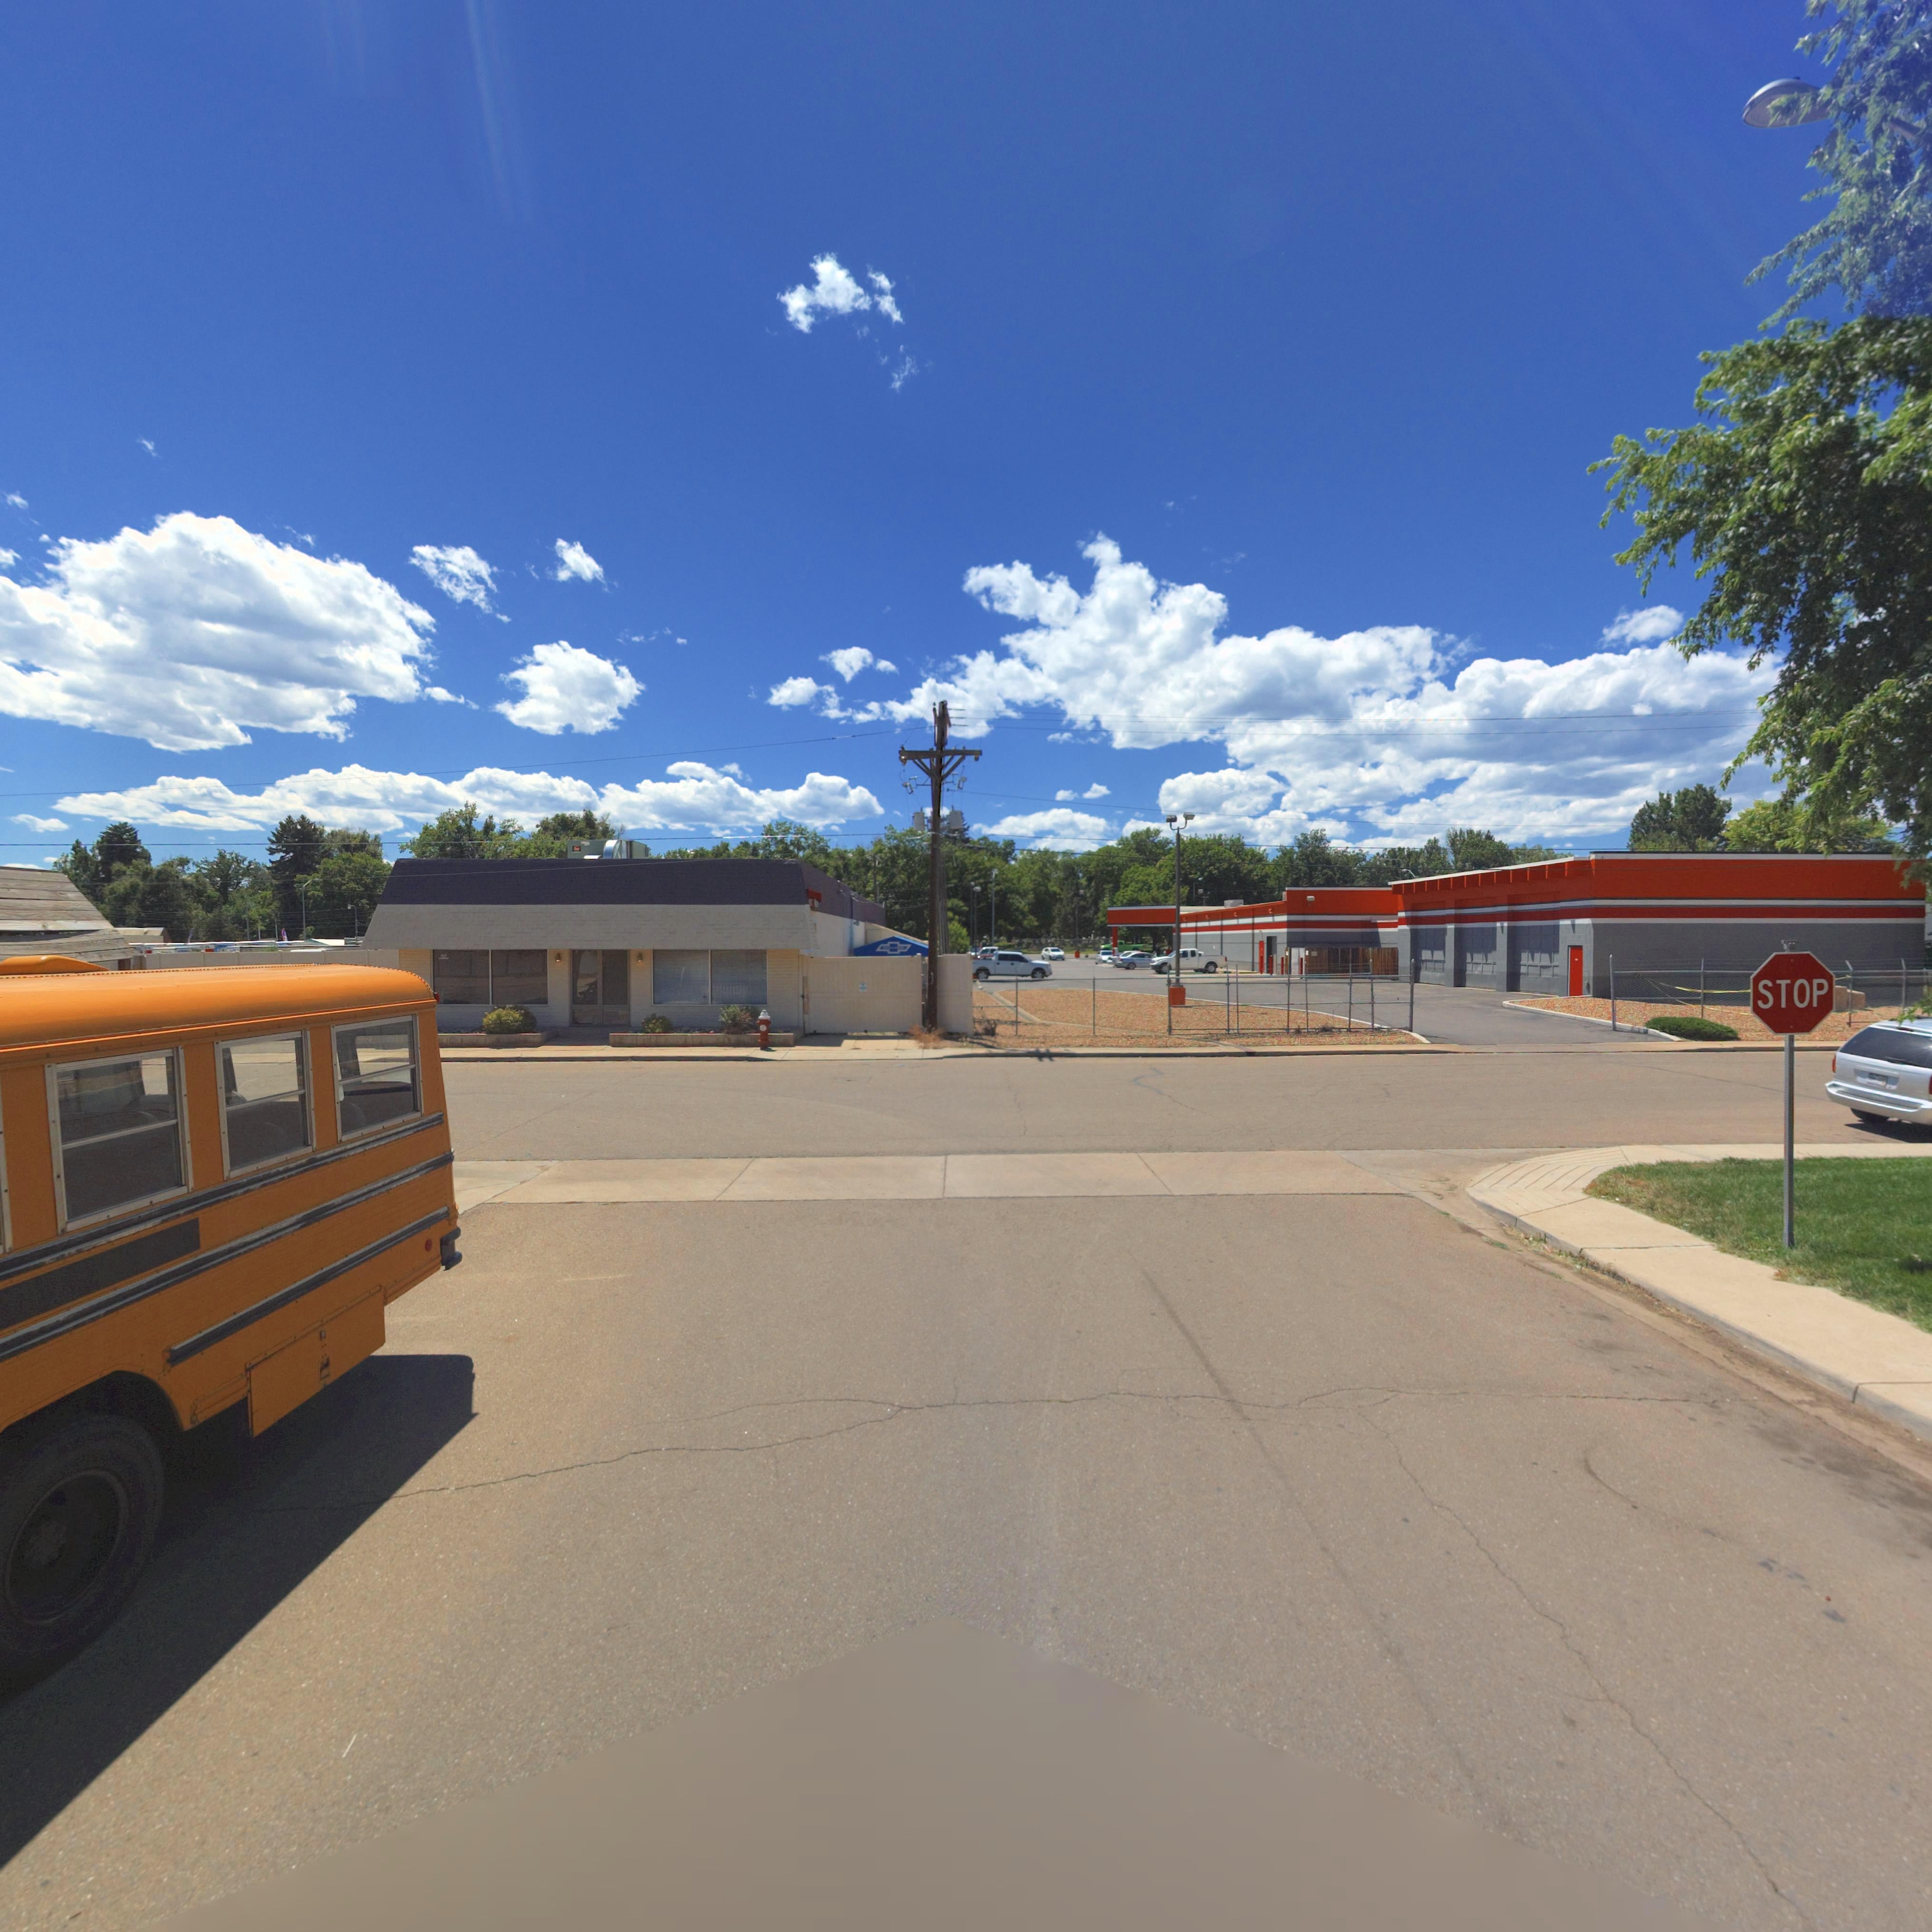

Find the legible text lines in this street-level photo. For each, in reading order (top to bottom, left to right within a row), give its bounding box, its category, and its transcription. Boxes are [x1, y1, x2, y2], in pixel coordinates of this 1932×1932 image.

[440, 953, 447, 957] StreetNumber: 1***